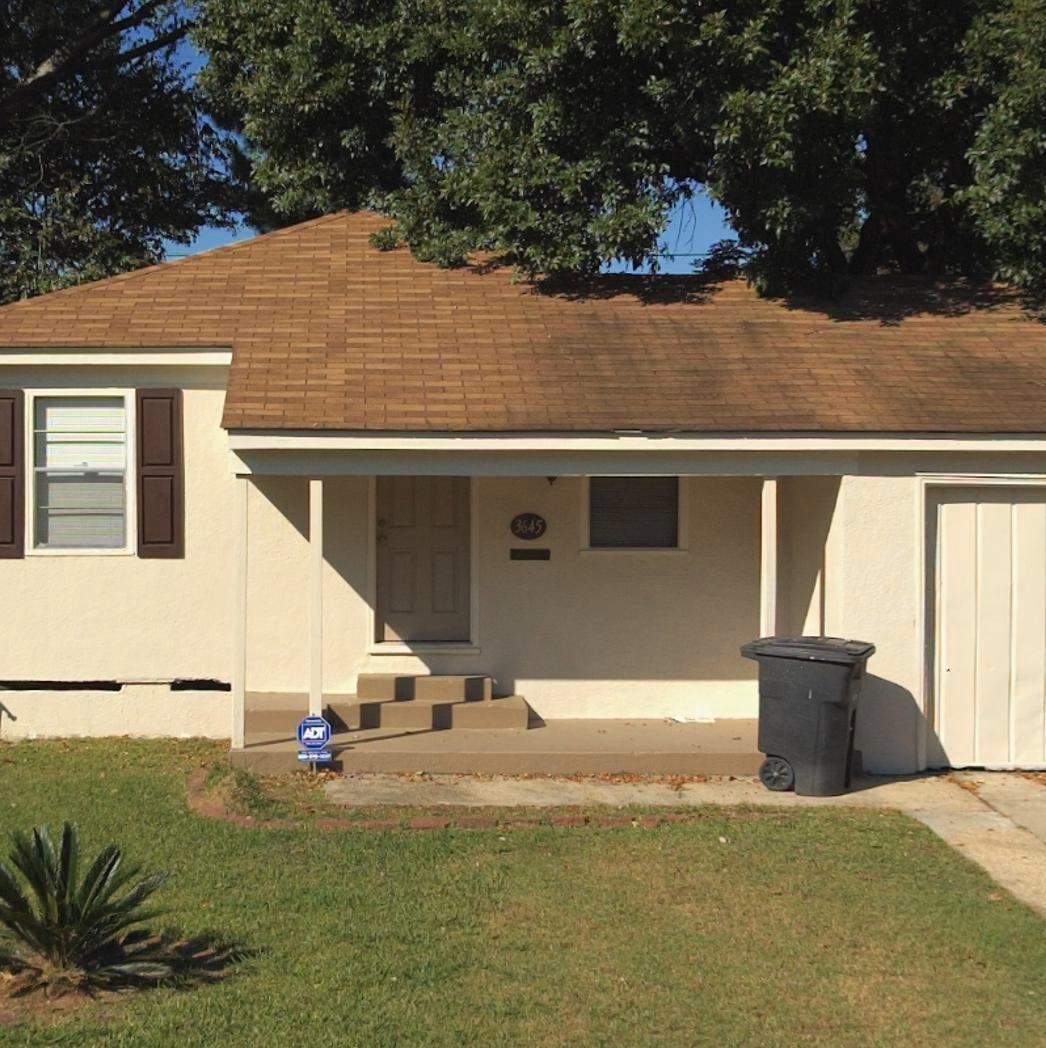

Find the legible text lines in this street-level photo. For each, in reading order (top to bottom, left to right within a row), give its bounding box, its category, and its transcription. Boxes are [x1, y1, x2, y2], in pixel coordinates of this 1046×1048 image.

[513, 518, 544, 535] StreetNumber: 3645
[301, 726, 326, 740] None: ADT